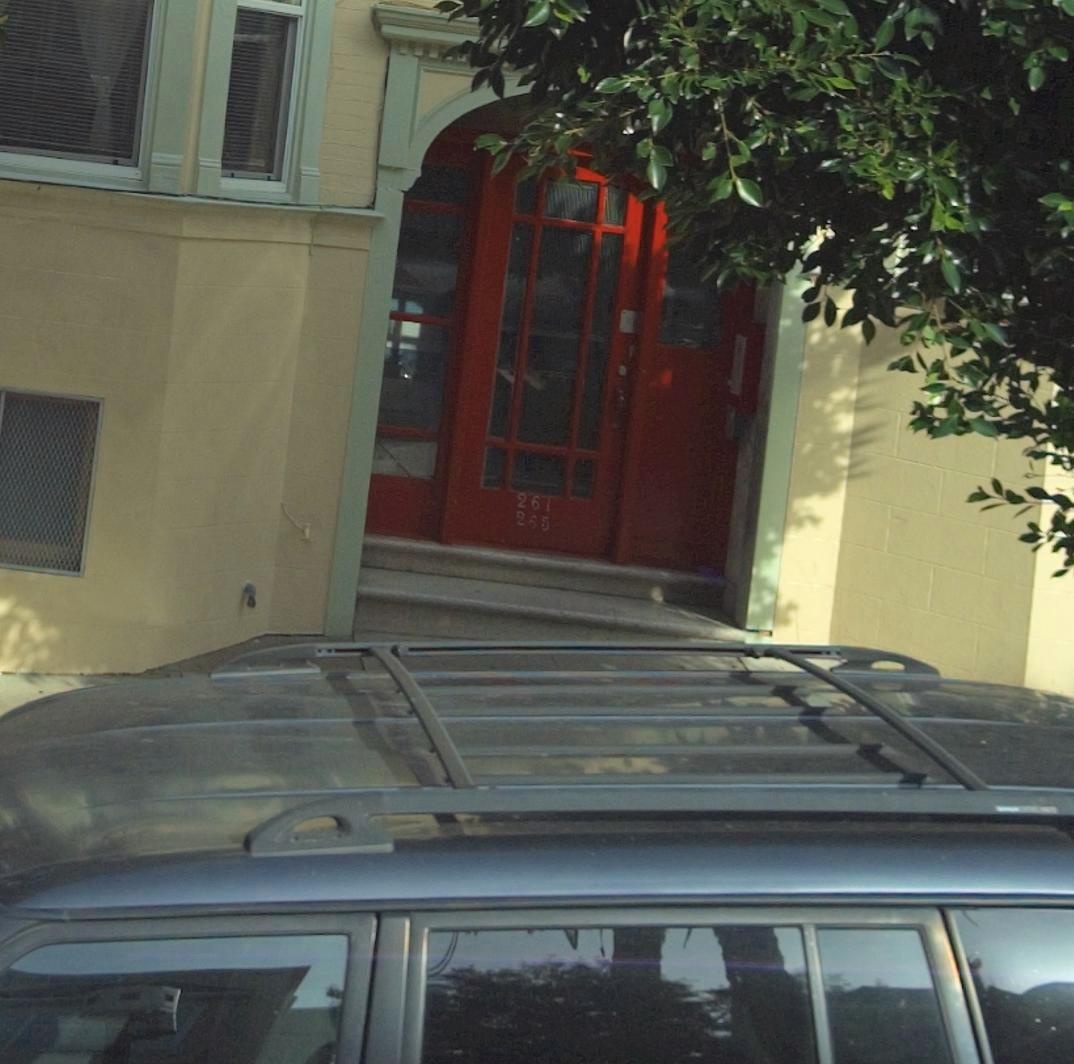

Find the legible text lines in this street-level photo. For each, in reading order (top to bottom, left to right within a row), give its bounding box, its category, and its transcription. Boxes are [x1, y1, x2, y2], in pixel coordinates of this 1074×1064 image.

[514, 491, 552, 514] StreetNumber: 261
[514, 509, 551, 532] StreetNumber: 265